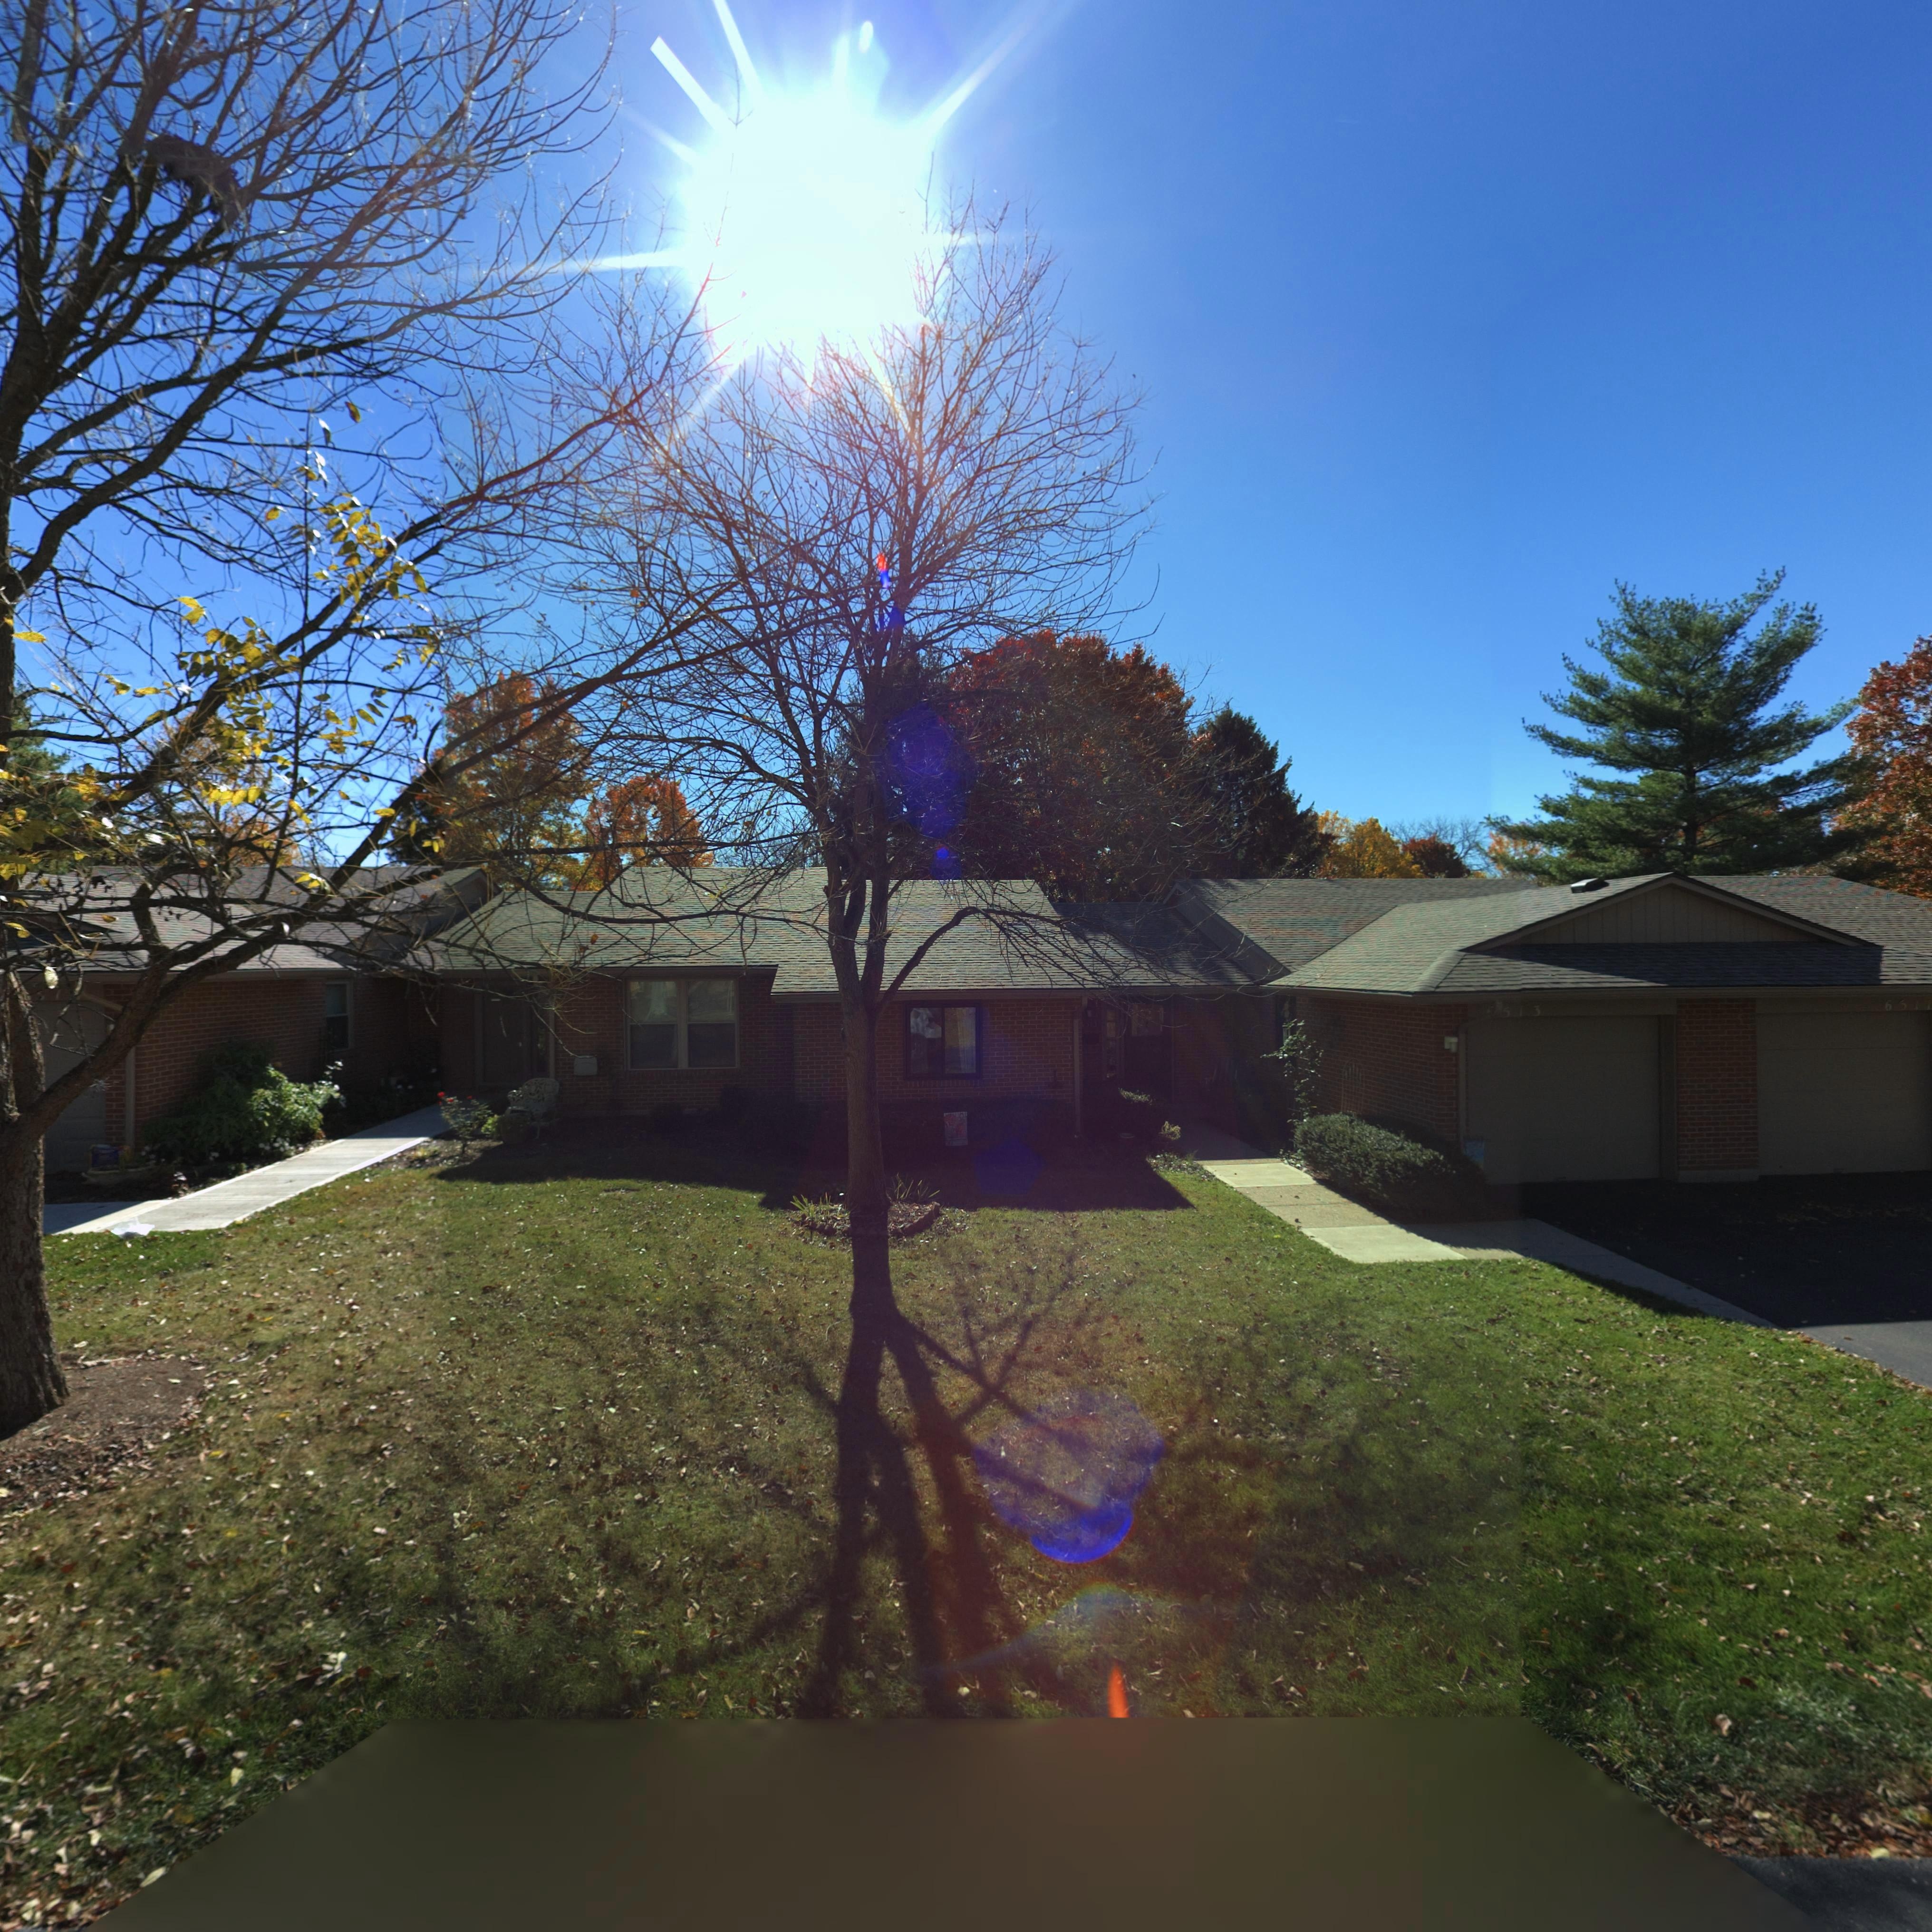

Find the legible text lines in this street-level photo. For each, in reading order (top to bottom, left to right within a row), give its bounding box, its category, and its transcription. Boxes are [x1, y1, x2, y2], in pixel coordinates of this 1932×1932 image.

[1502, 1004, 1542, 1018] StreetNumber: 513
[1884, 998, 1920, 1012] StreetNumber: 651